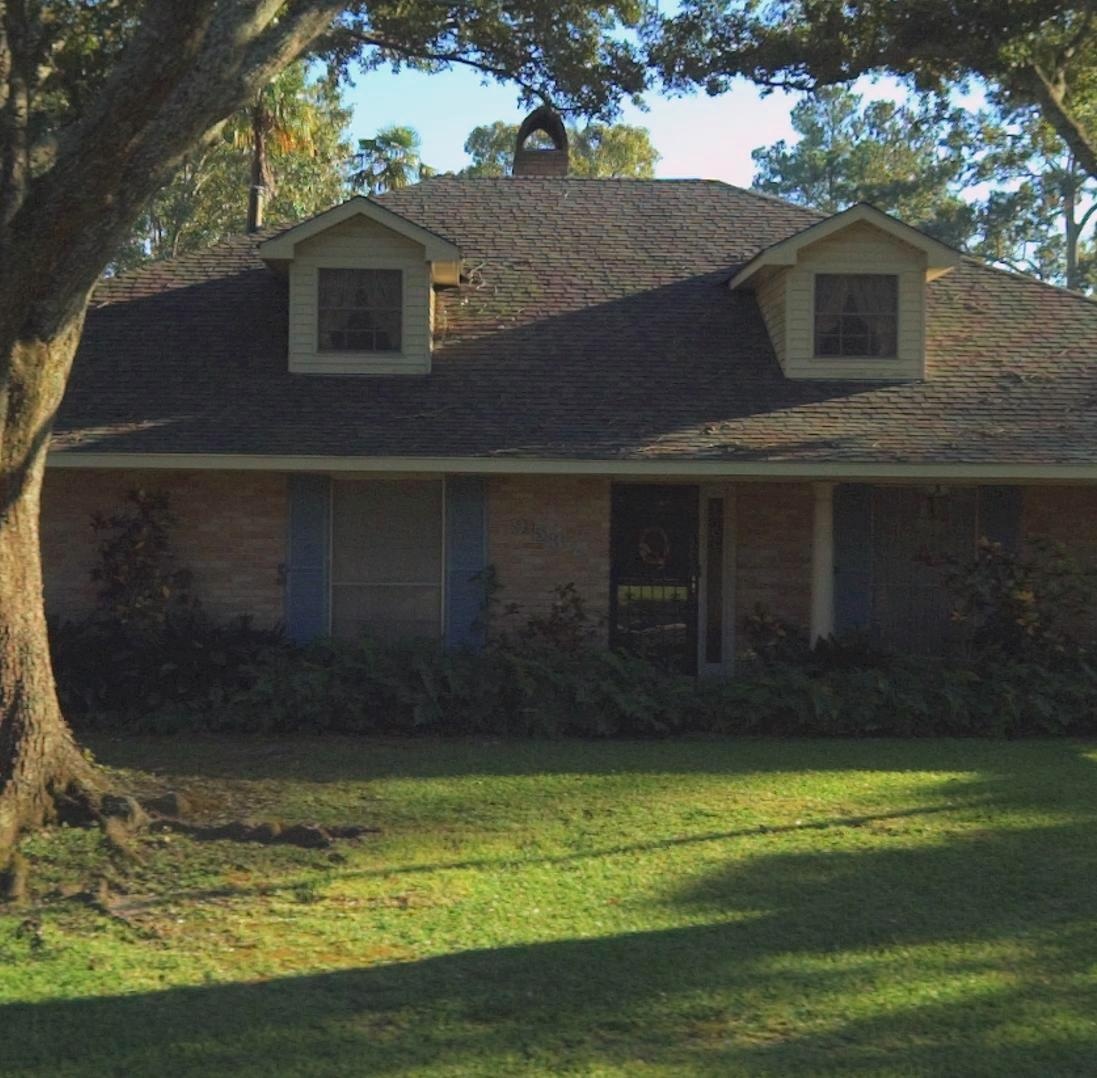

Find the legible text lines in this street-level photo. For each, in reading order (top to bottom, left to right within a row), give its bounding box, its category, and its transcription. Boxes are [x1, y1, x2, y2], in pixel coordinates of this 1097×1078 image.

[509, 517, 588, 559] StreetNumber: 9532